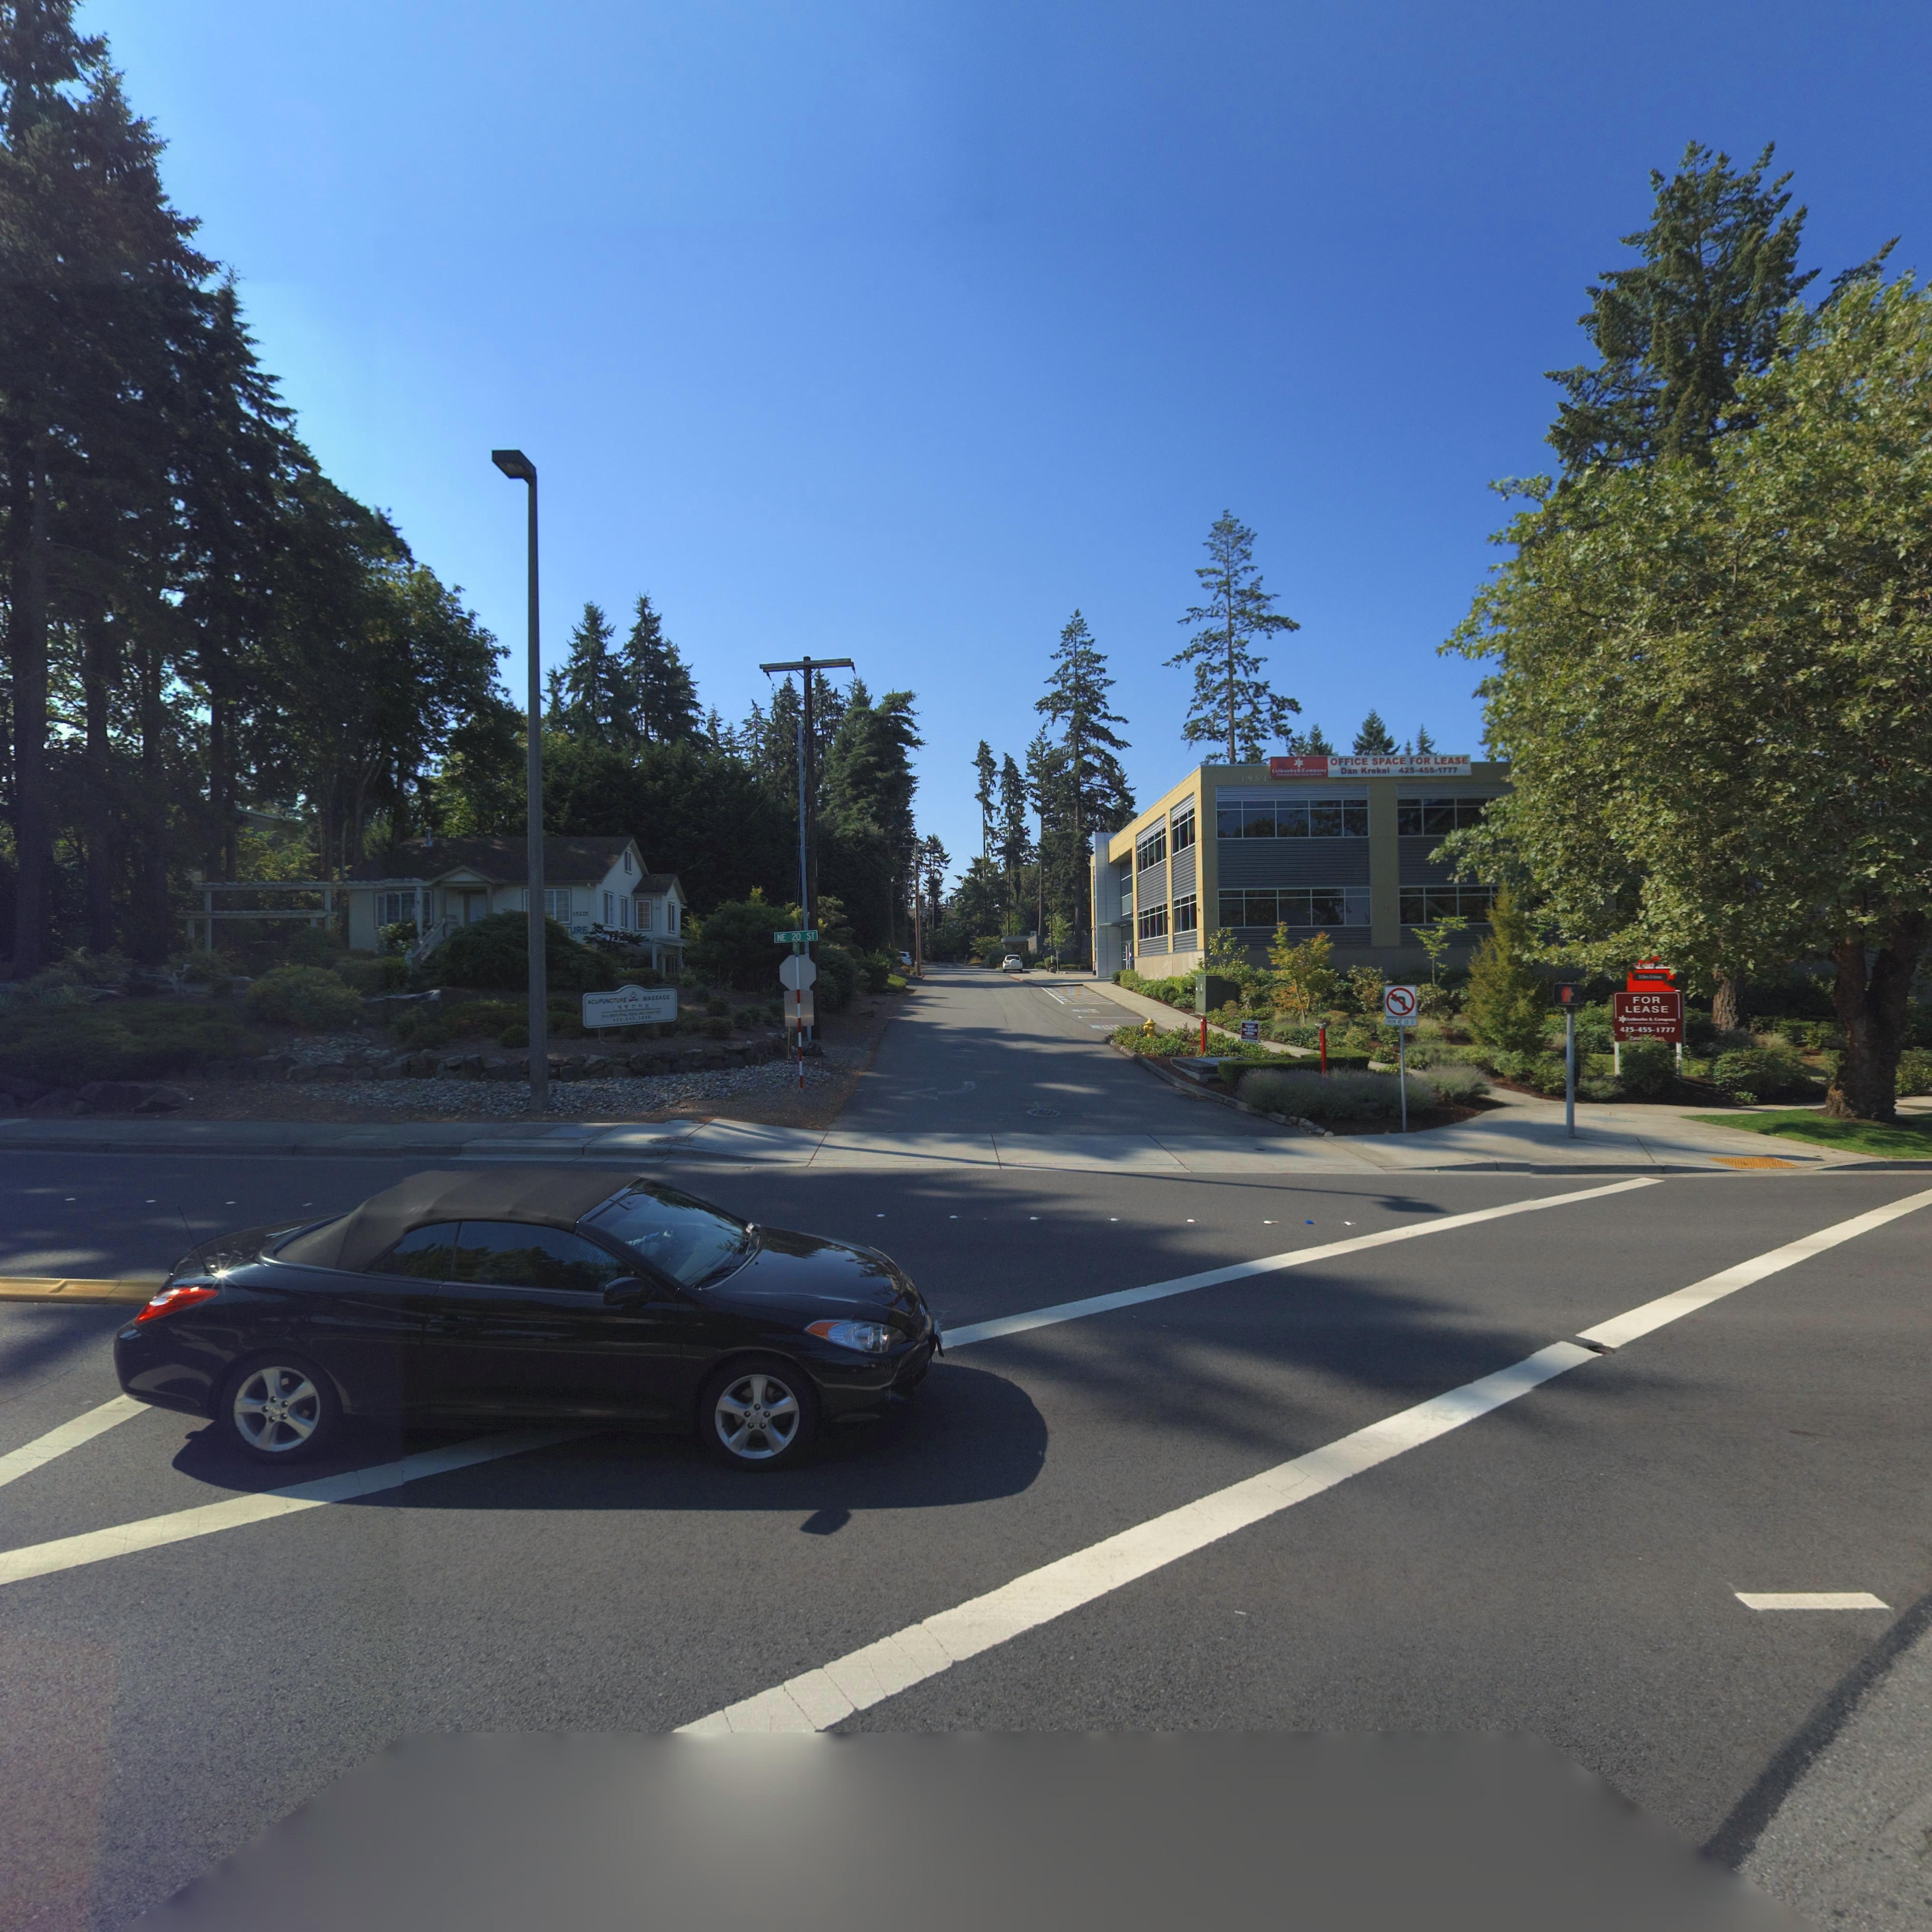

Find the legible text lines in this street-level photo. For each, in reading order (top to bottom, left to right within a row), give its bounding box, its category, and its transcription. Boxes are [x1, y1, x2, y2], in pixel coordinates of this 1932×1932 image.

[1241, 775, 1267, 782] StreetNumber: 1951
[573, 910, 589, 916] StreetNumber: 15225
[777, 932, 815, 941] StreetName: NE 20 ST
[587, 997, 627, 1004] BusinessName: ACUPUNCTURE
[643, 995, 670, 1001] BusinessName: MASSAGE